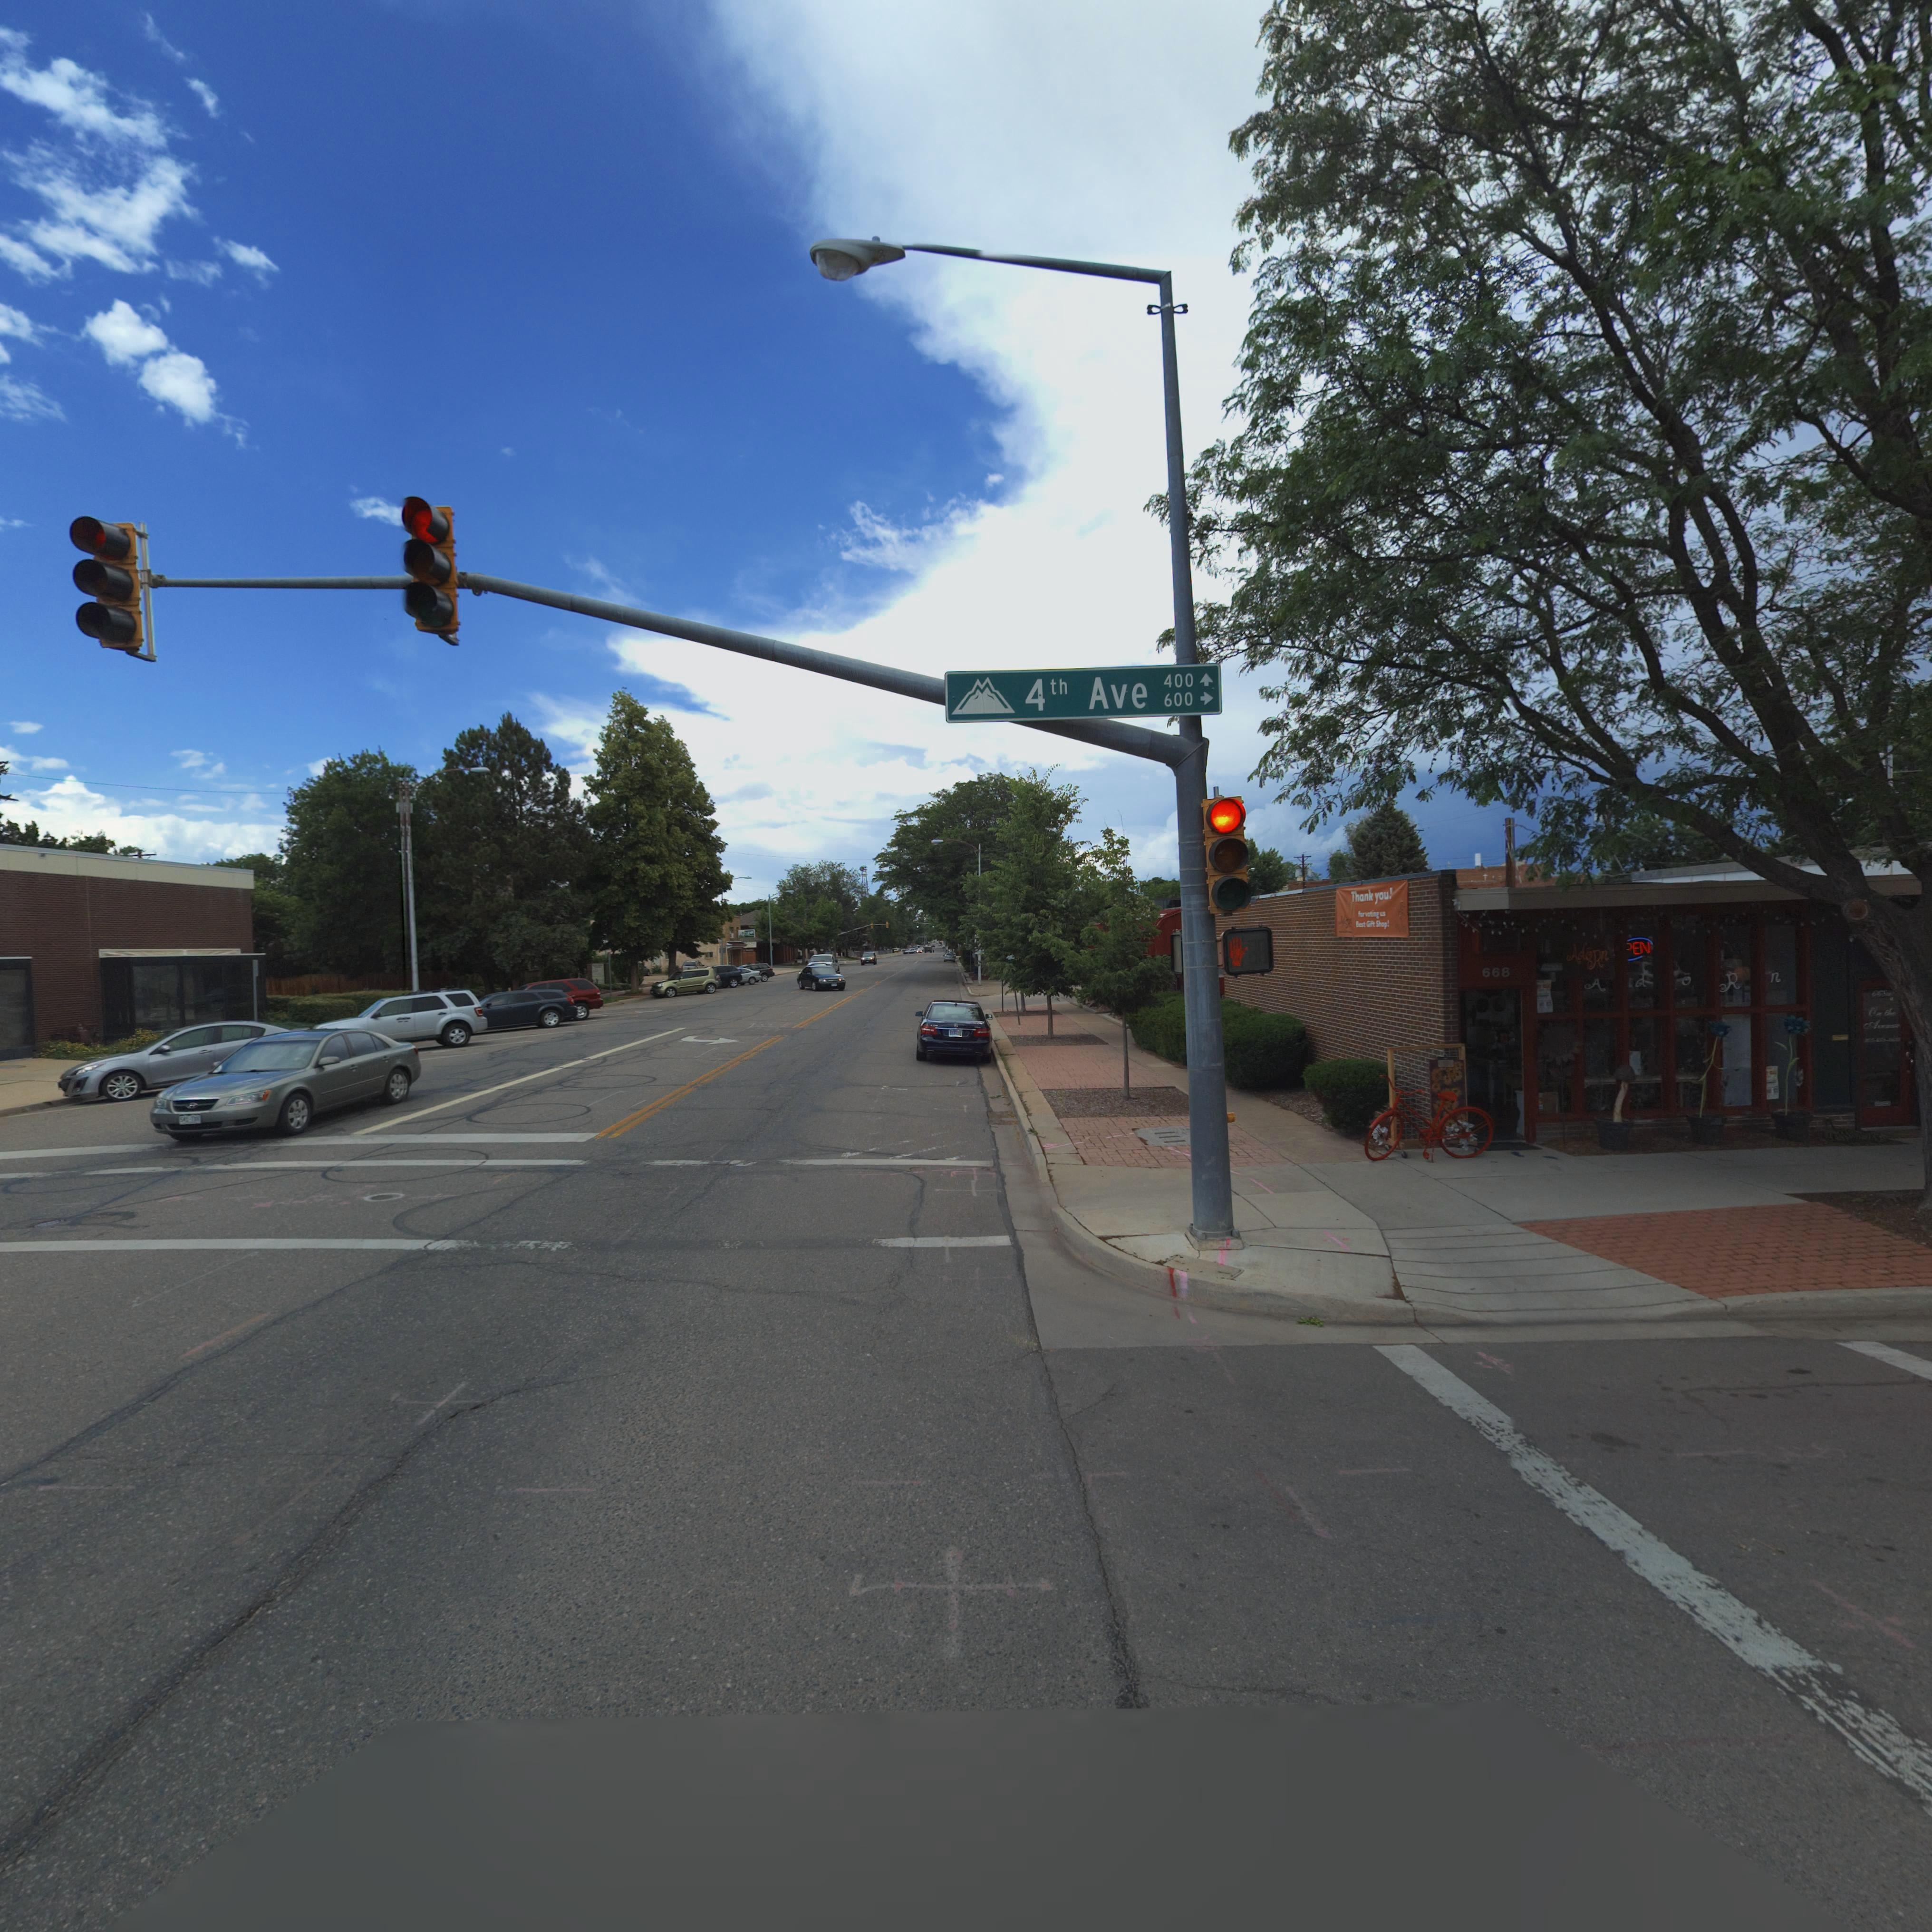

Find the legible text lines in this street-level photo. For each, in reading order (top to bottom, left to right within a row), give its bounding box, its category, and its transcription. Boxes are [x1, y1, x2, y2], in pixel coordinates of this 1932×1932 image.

[1163, 673, 1194, 688] StreetNumber: 400
[1025, 677, 1148, 710] StreetName: 4th Ave
[1164, 692, 1213, 706] StreetNumberRange: 600 ->
[1336, 913, 1352, 930] BusinessName: Ad*****
[1565, 943, 1609, 969] BusinessName: AdoRn
[1482, 967, 1510, 977] StreetNumber: 668
[1870, 990, 1888, 996] StreetNumber: 668
[1885, 992, 1891, 996] BusinessName: a
[1868, 1008, 1896, 1017] BusinessName: On *he
[1863, 1019, 1899, 1029] BusinessName: Av****